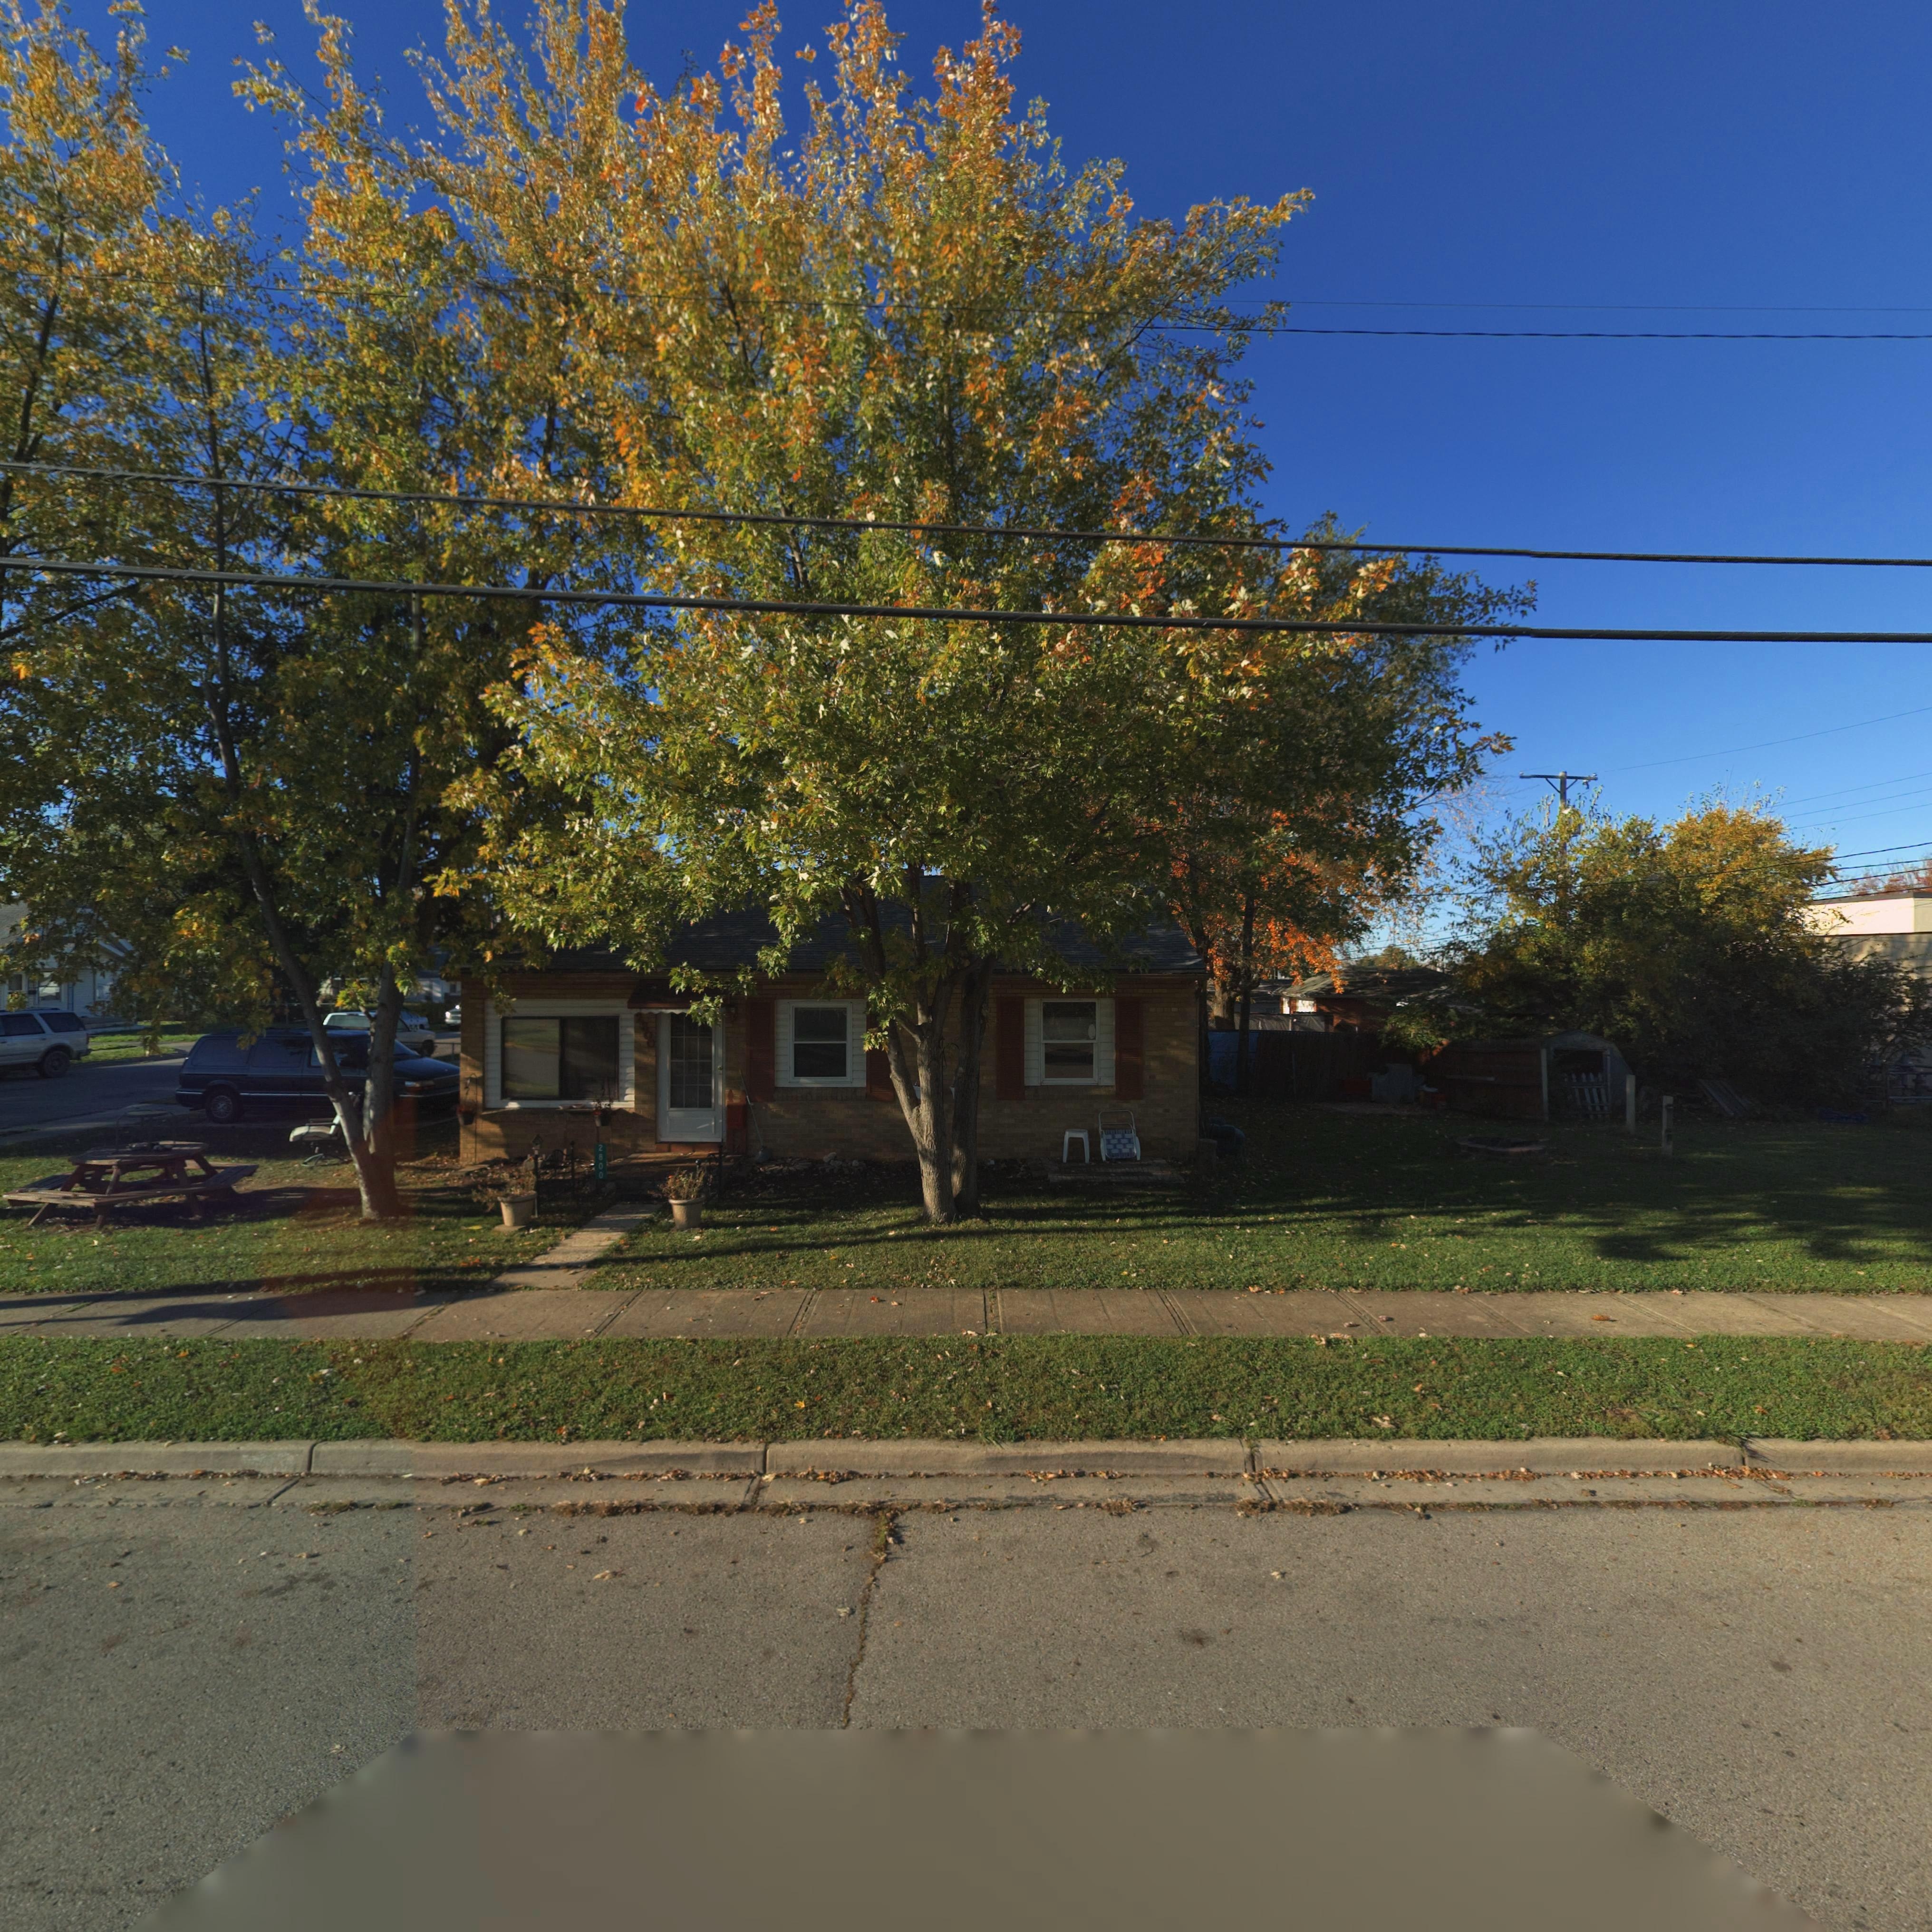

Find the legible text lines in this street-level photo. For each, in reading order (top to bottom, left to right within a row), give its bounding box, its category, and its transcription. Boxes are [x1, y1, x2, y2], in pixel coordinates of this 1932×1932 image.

[633, 1013, 656, 1049] StreetNumber: 2800